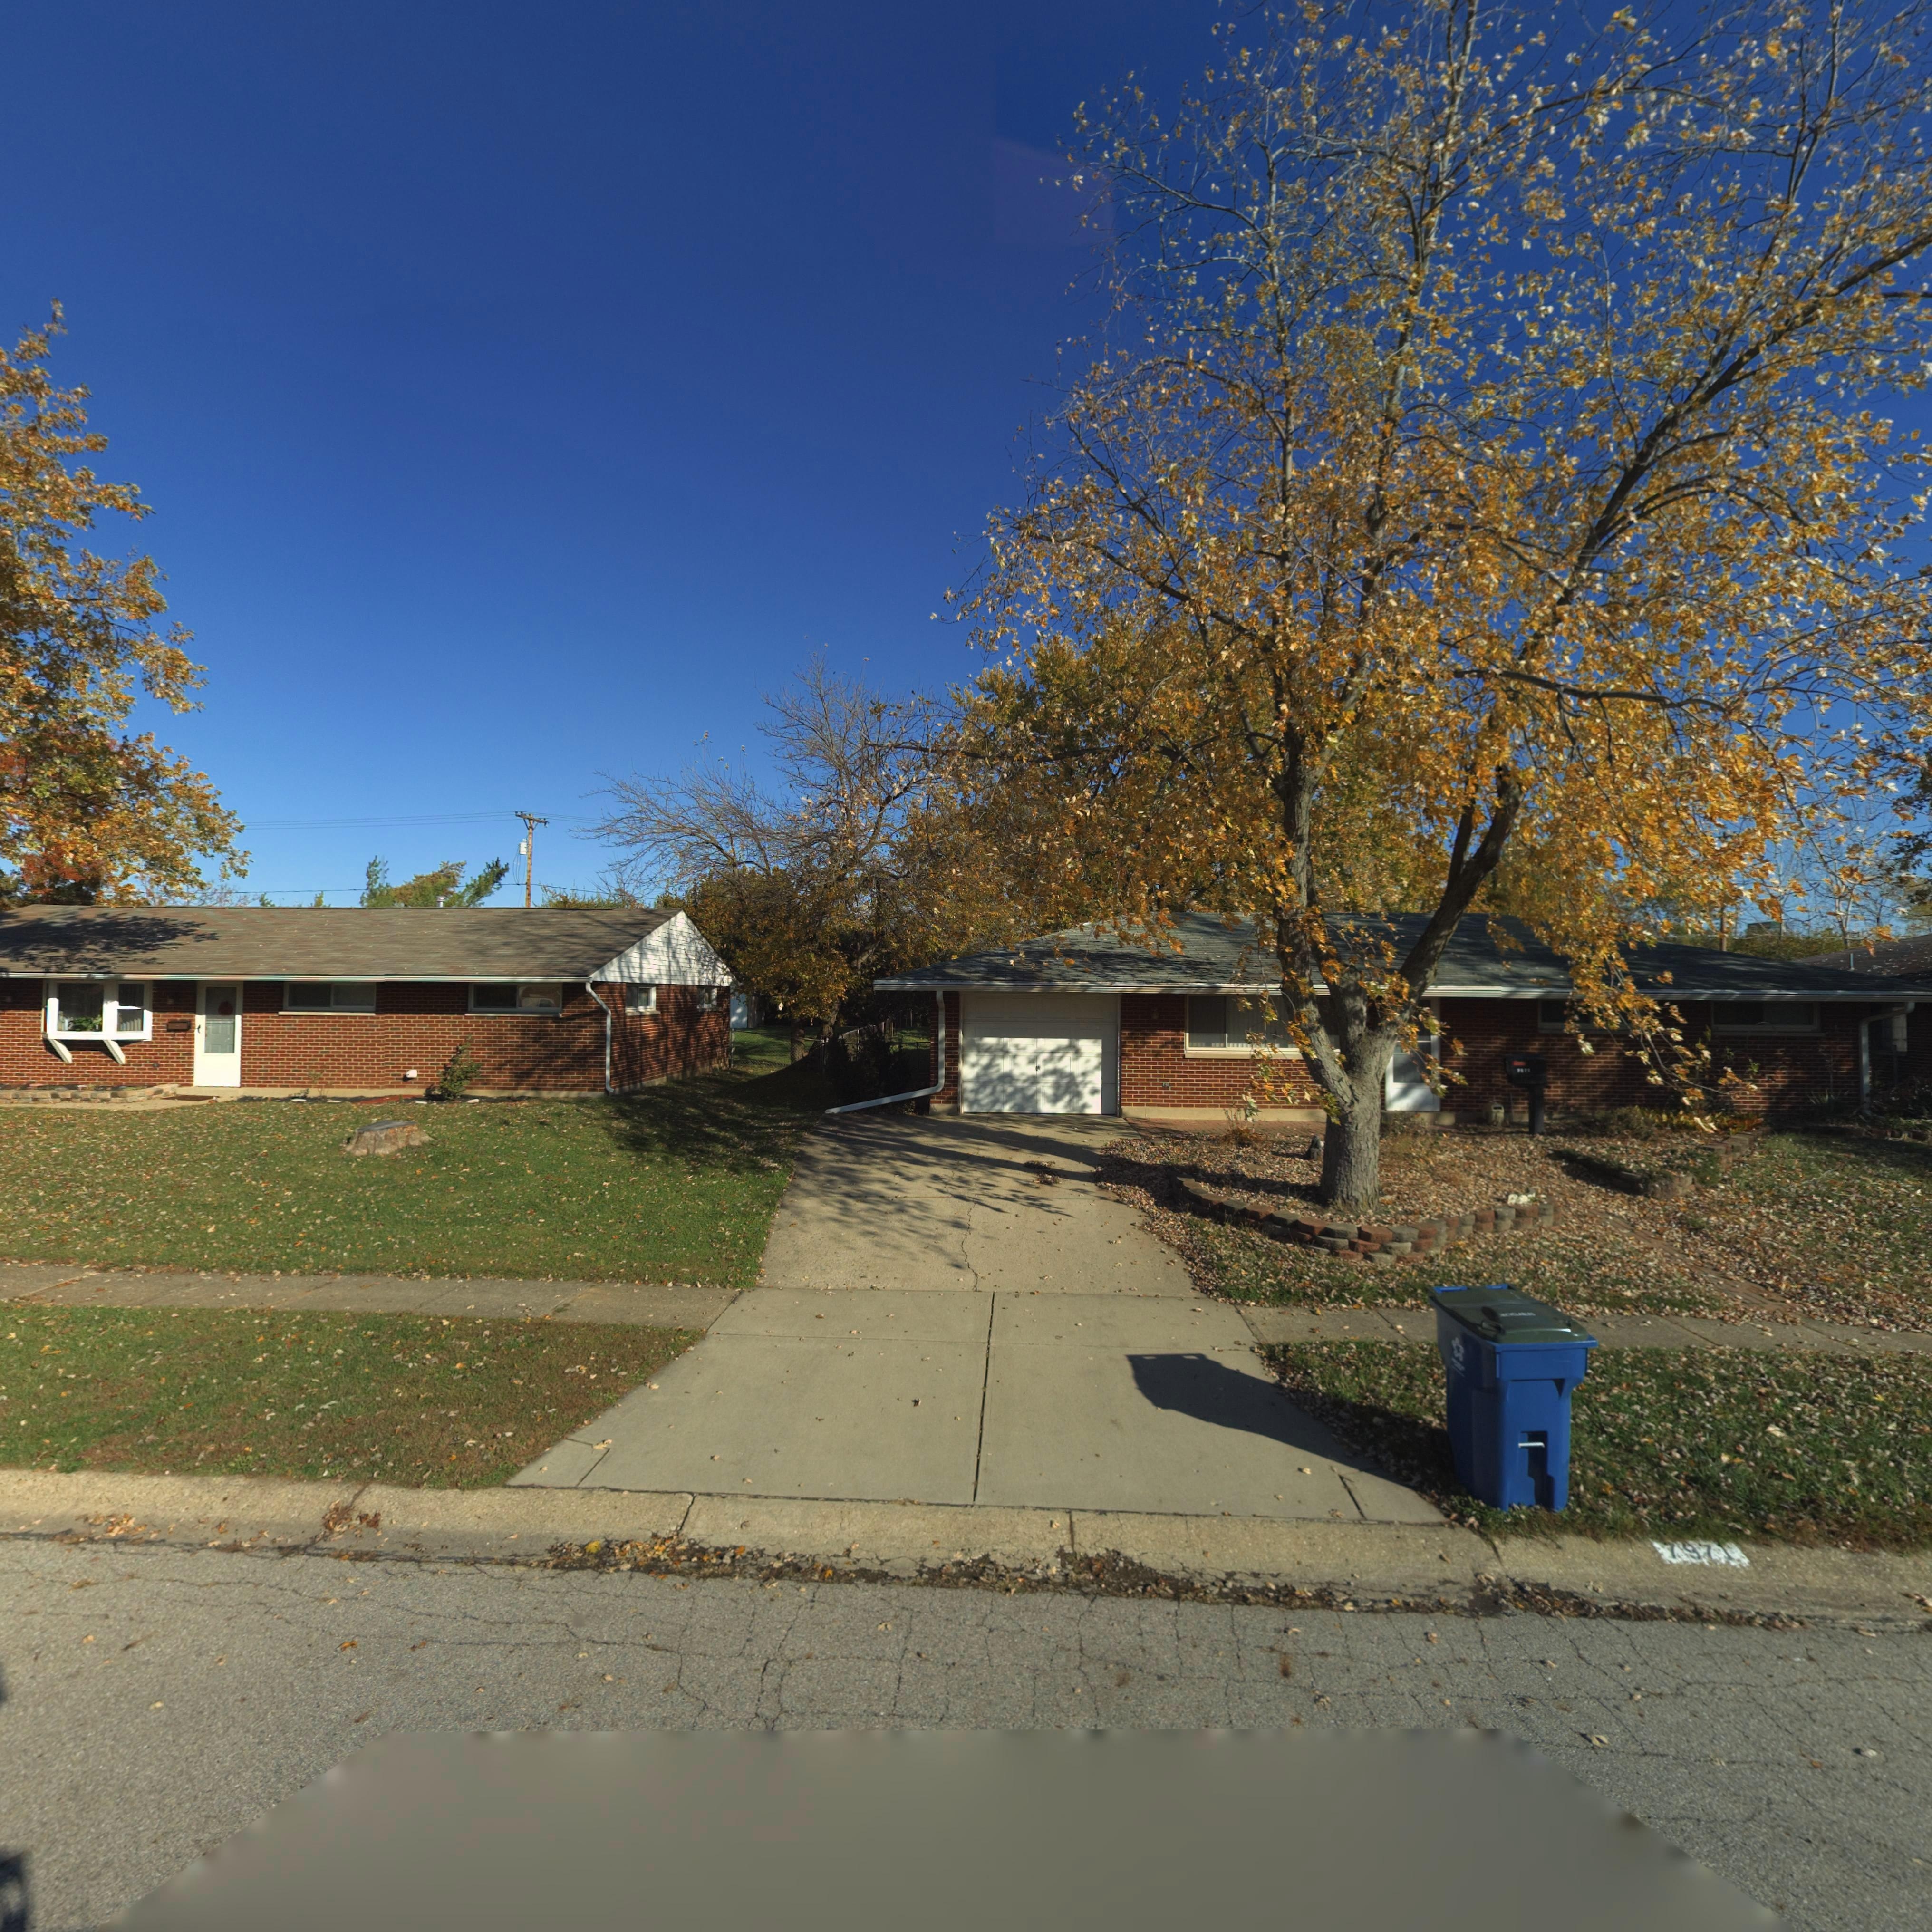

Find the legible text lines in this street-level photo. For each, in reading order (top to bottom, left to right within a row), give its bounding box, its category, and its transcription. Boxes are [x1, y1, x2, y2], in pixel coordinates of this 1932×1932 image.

[1660, 1541, 1735, 1561] StreetNumber: 7971